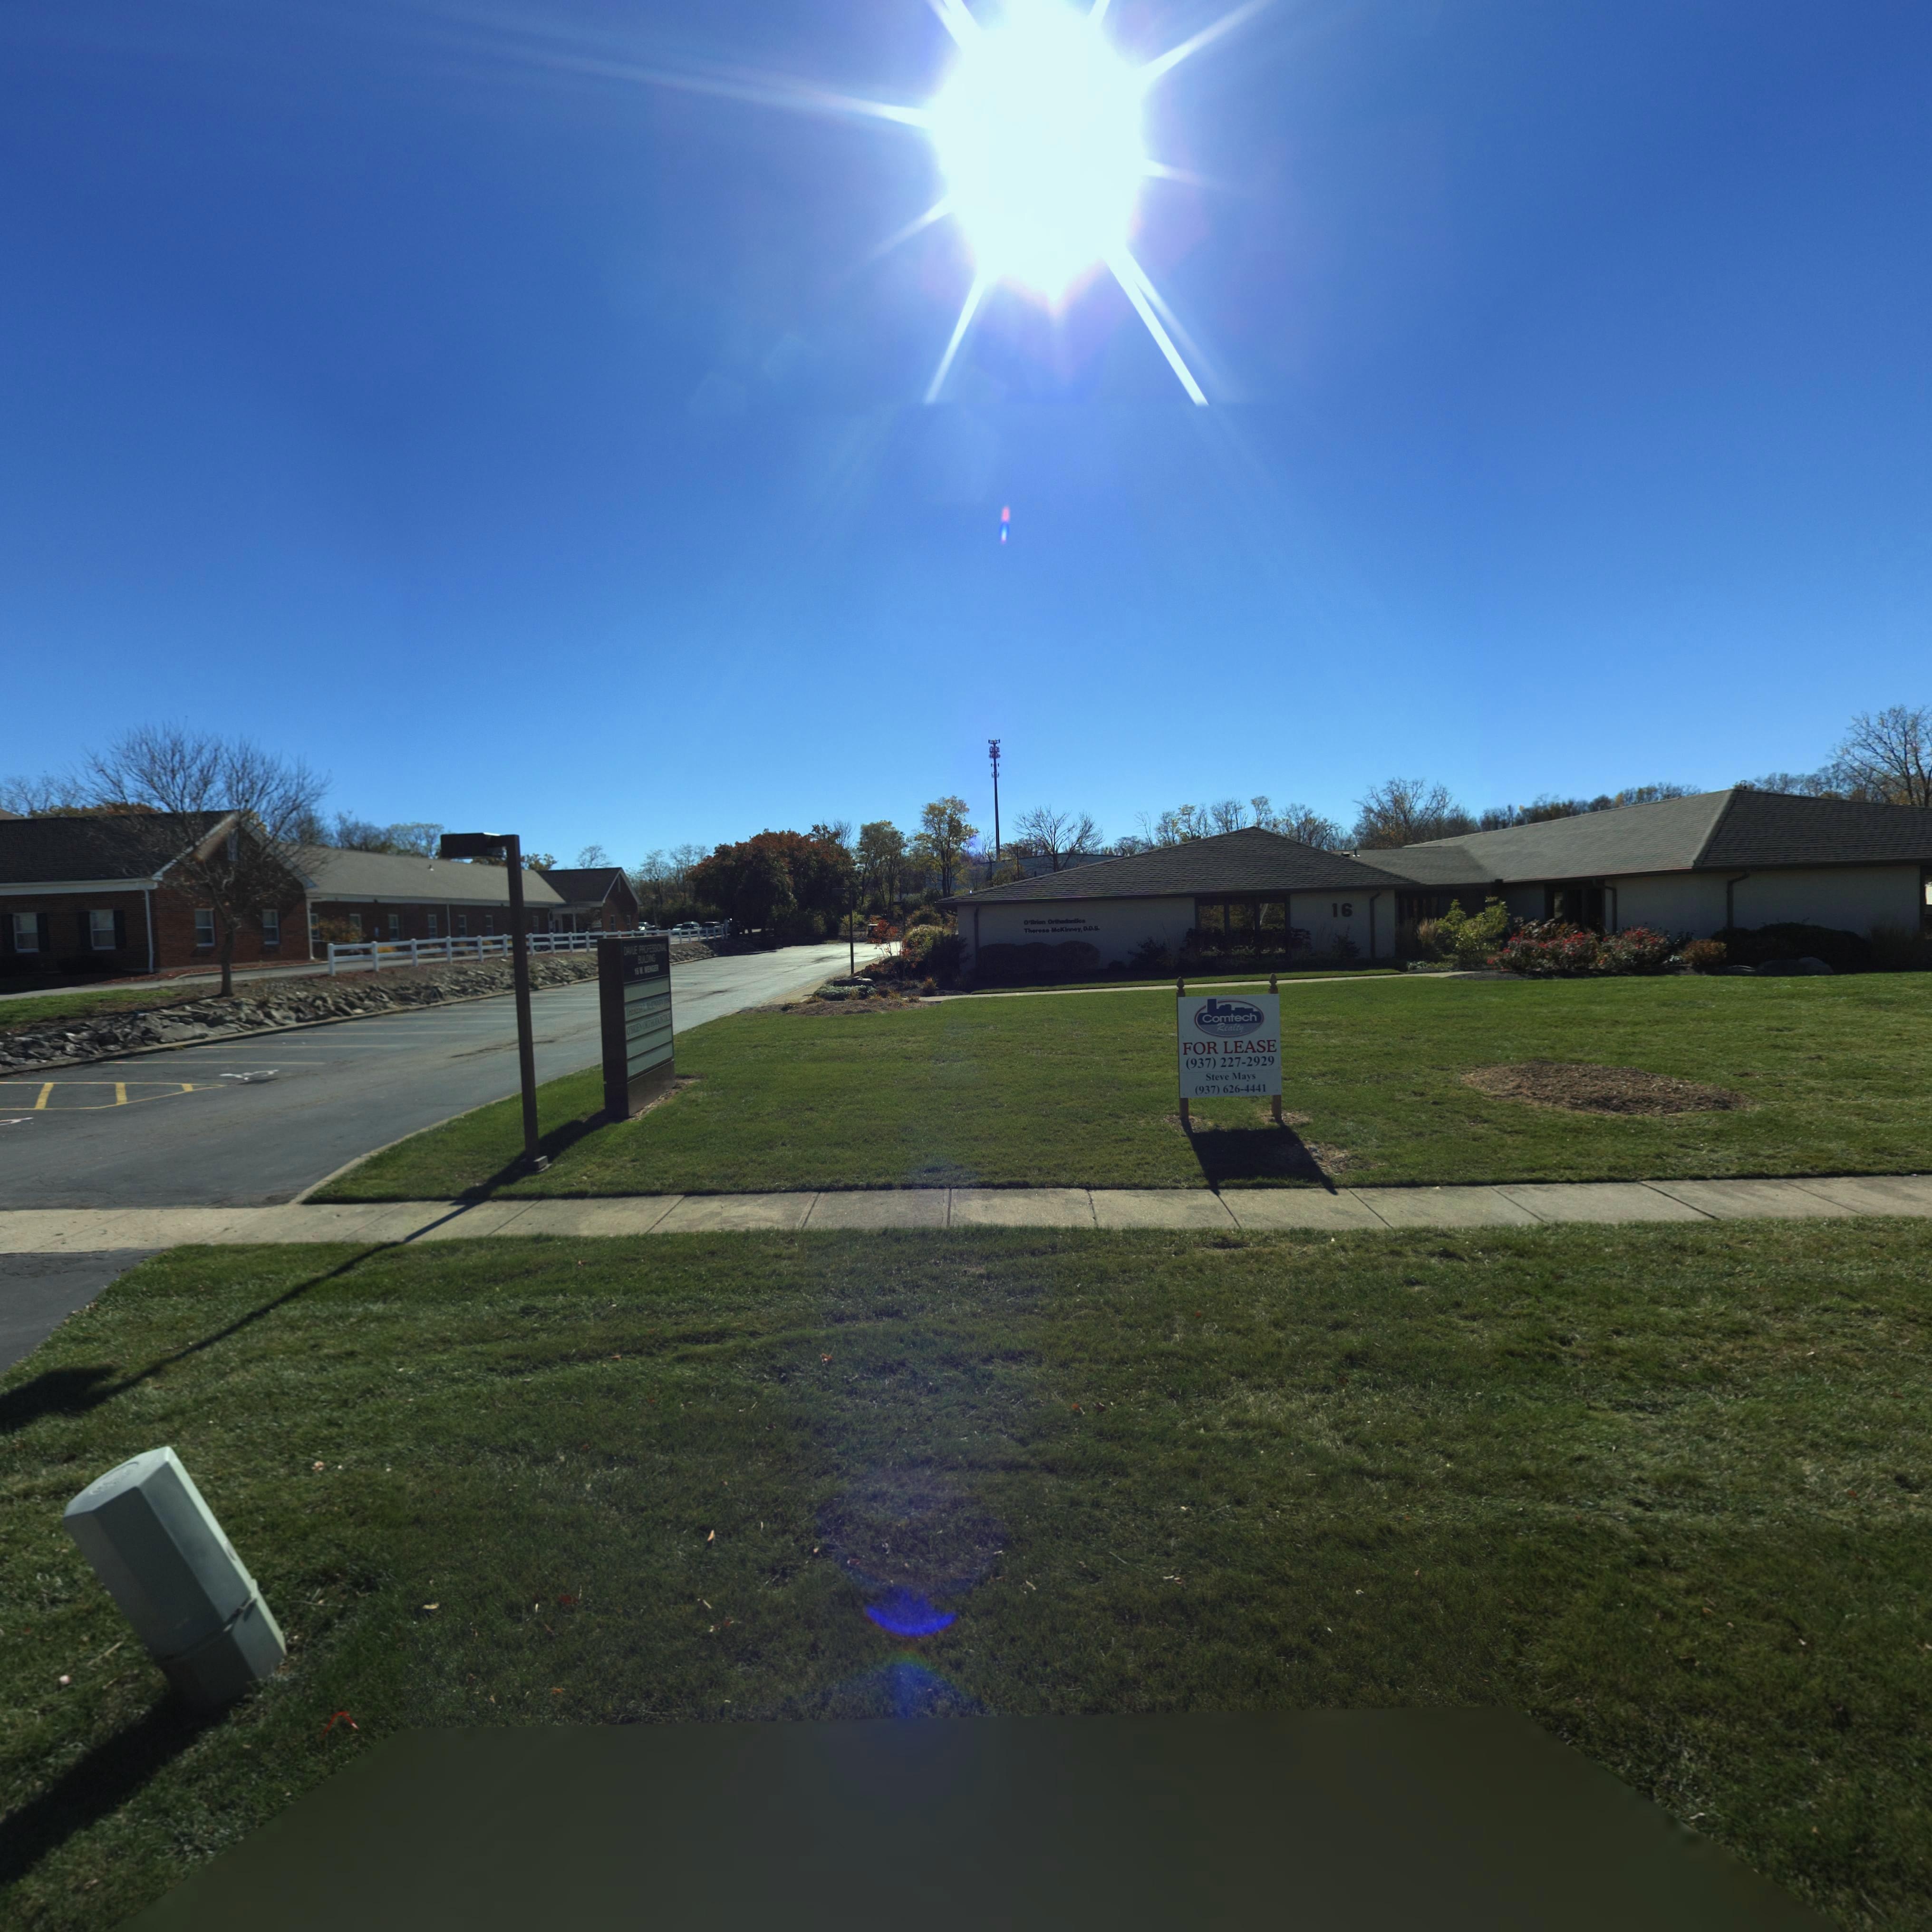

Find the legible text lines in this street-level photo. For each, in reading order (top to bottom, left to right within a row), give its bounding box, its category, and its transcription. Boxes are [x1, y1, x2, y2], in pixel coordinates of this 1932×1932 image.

[1331, 901, 1353, 919] StreetNumber: 16
[1023, 918, 1086, 926] BusinessName: O'Brien Orthodontics
[1023, 925, 1101, 934] BusinessName: Theresa McKinney, D.D.S.
[634, 966, 640, 976] StreetNumber: 16
[638, 963, 660, 975] StreetName: W. WENGER
[1201, 1012, 1258, 1024] None: Comtech
[626, 1011, 672, 1037] BusinessName: O'BRIEN ORTHODONTICS